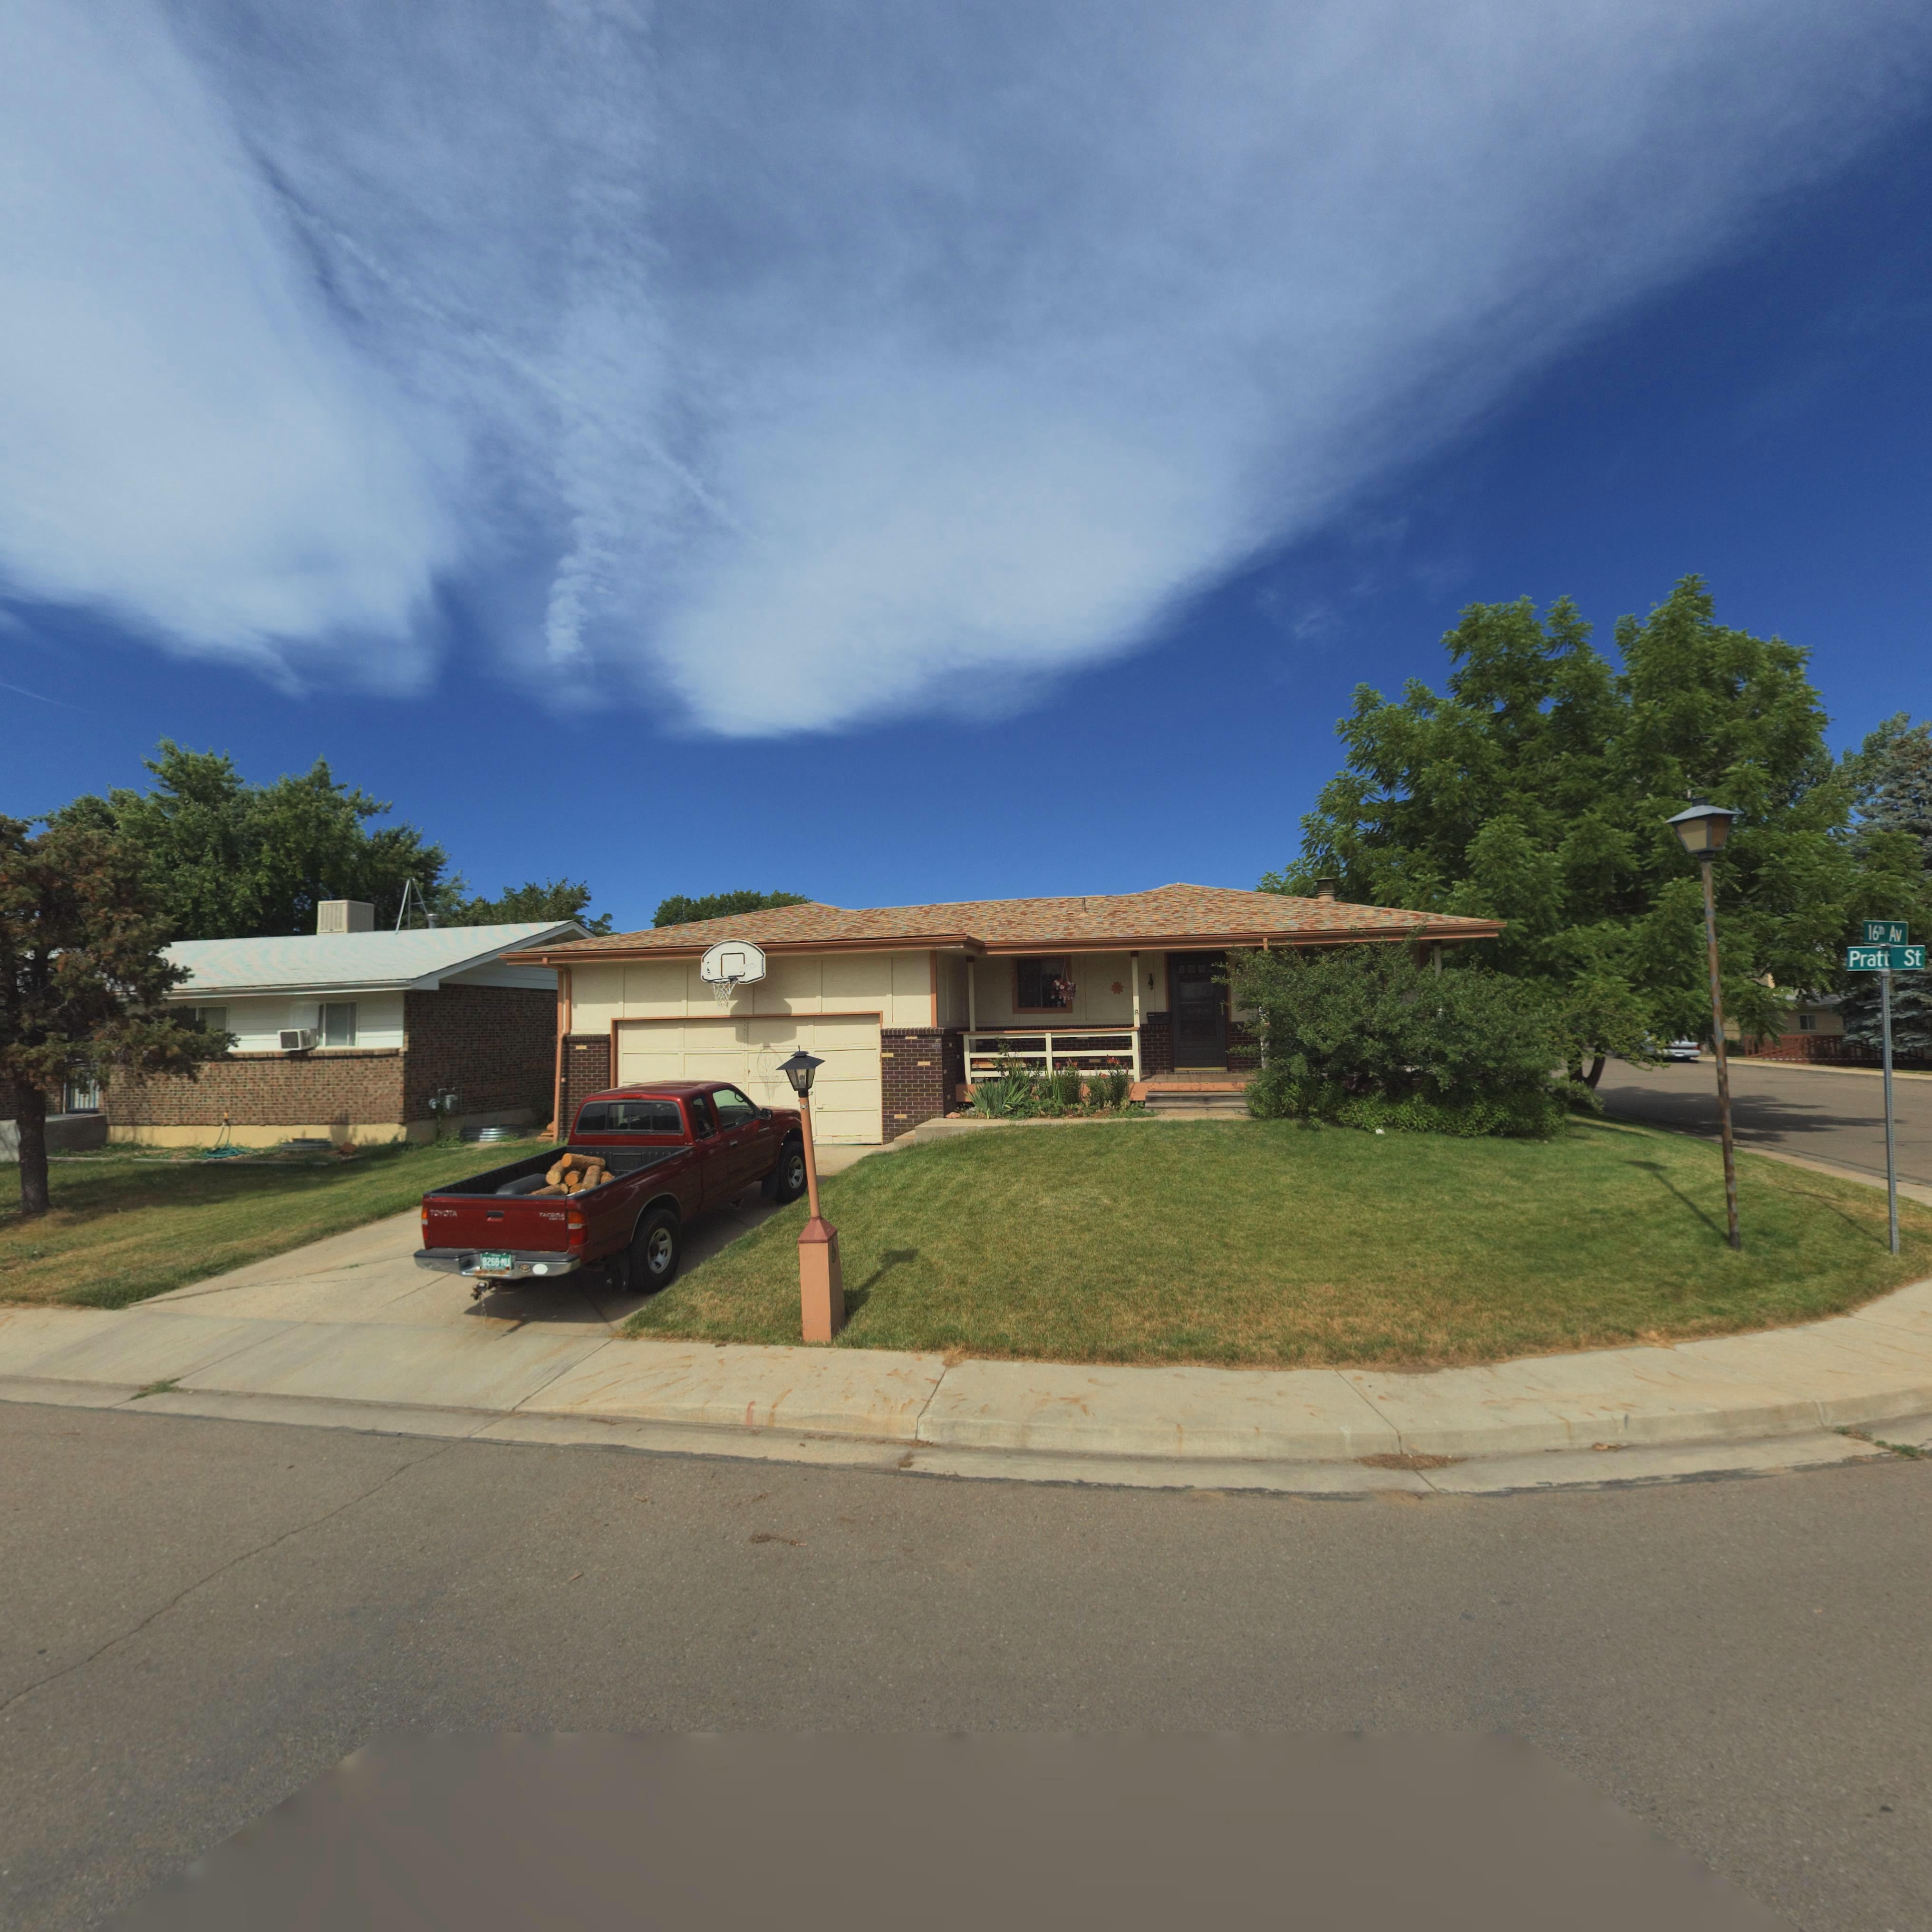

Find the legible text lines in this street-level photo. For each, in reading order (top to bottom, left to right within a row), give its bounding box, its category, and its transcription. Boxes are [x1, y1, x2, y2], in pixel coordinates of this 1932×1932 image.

[1868, 923, 1903, 942] StreetName: 16th Av
[1849, 949, 1922, 967] StreetName: Pratt St